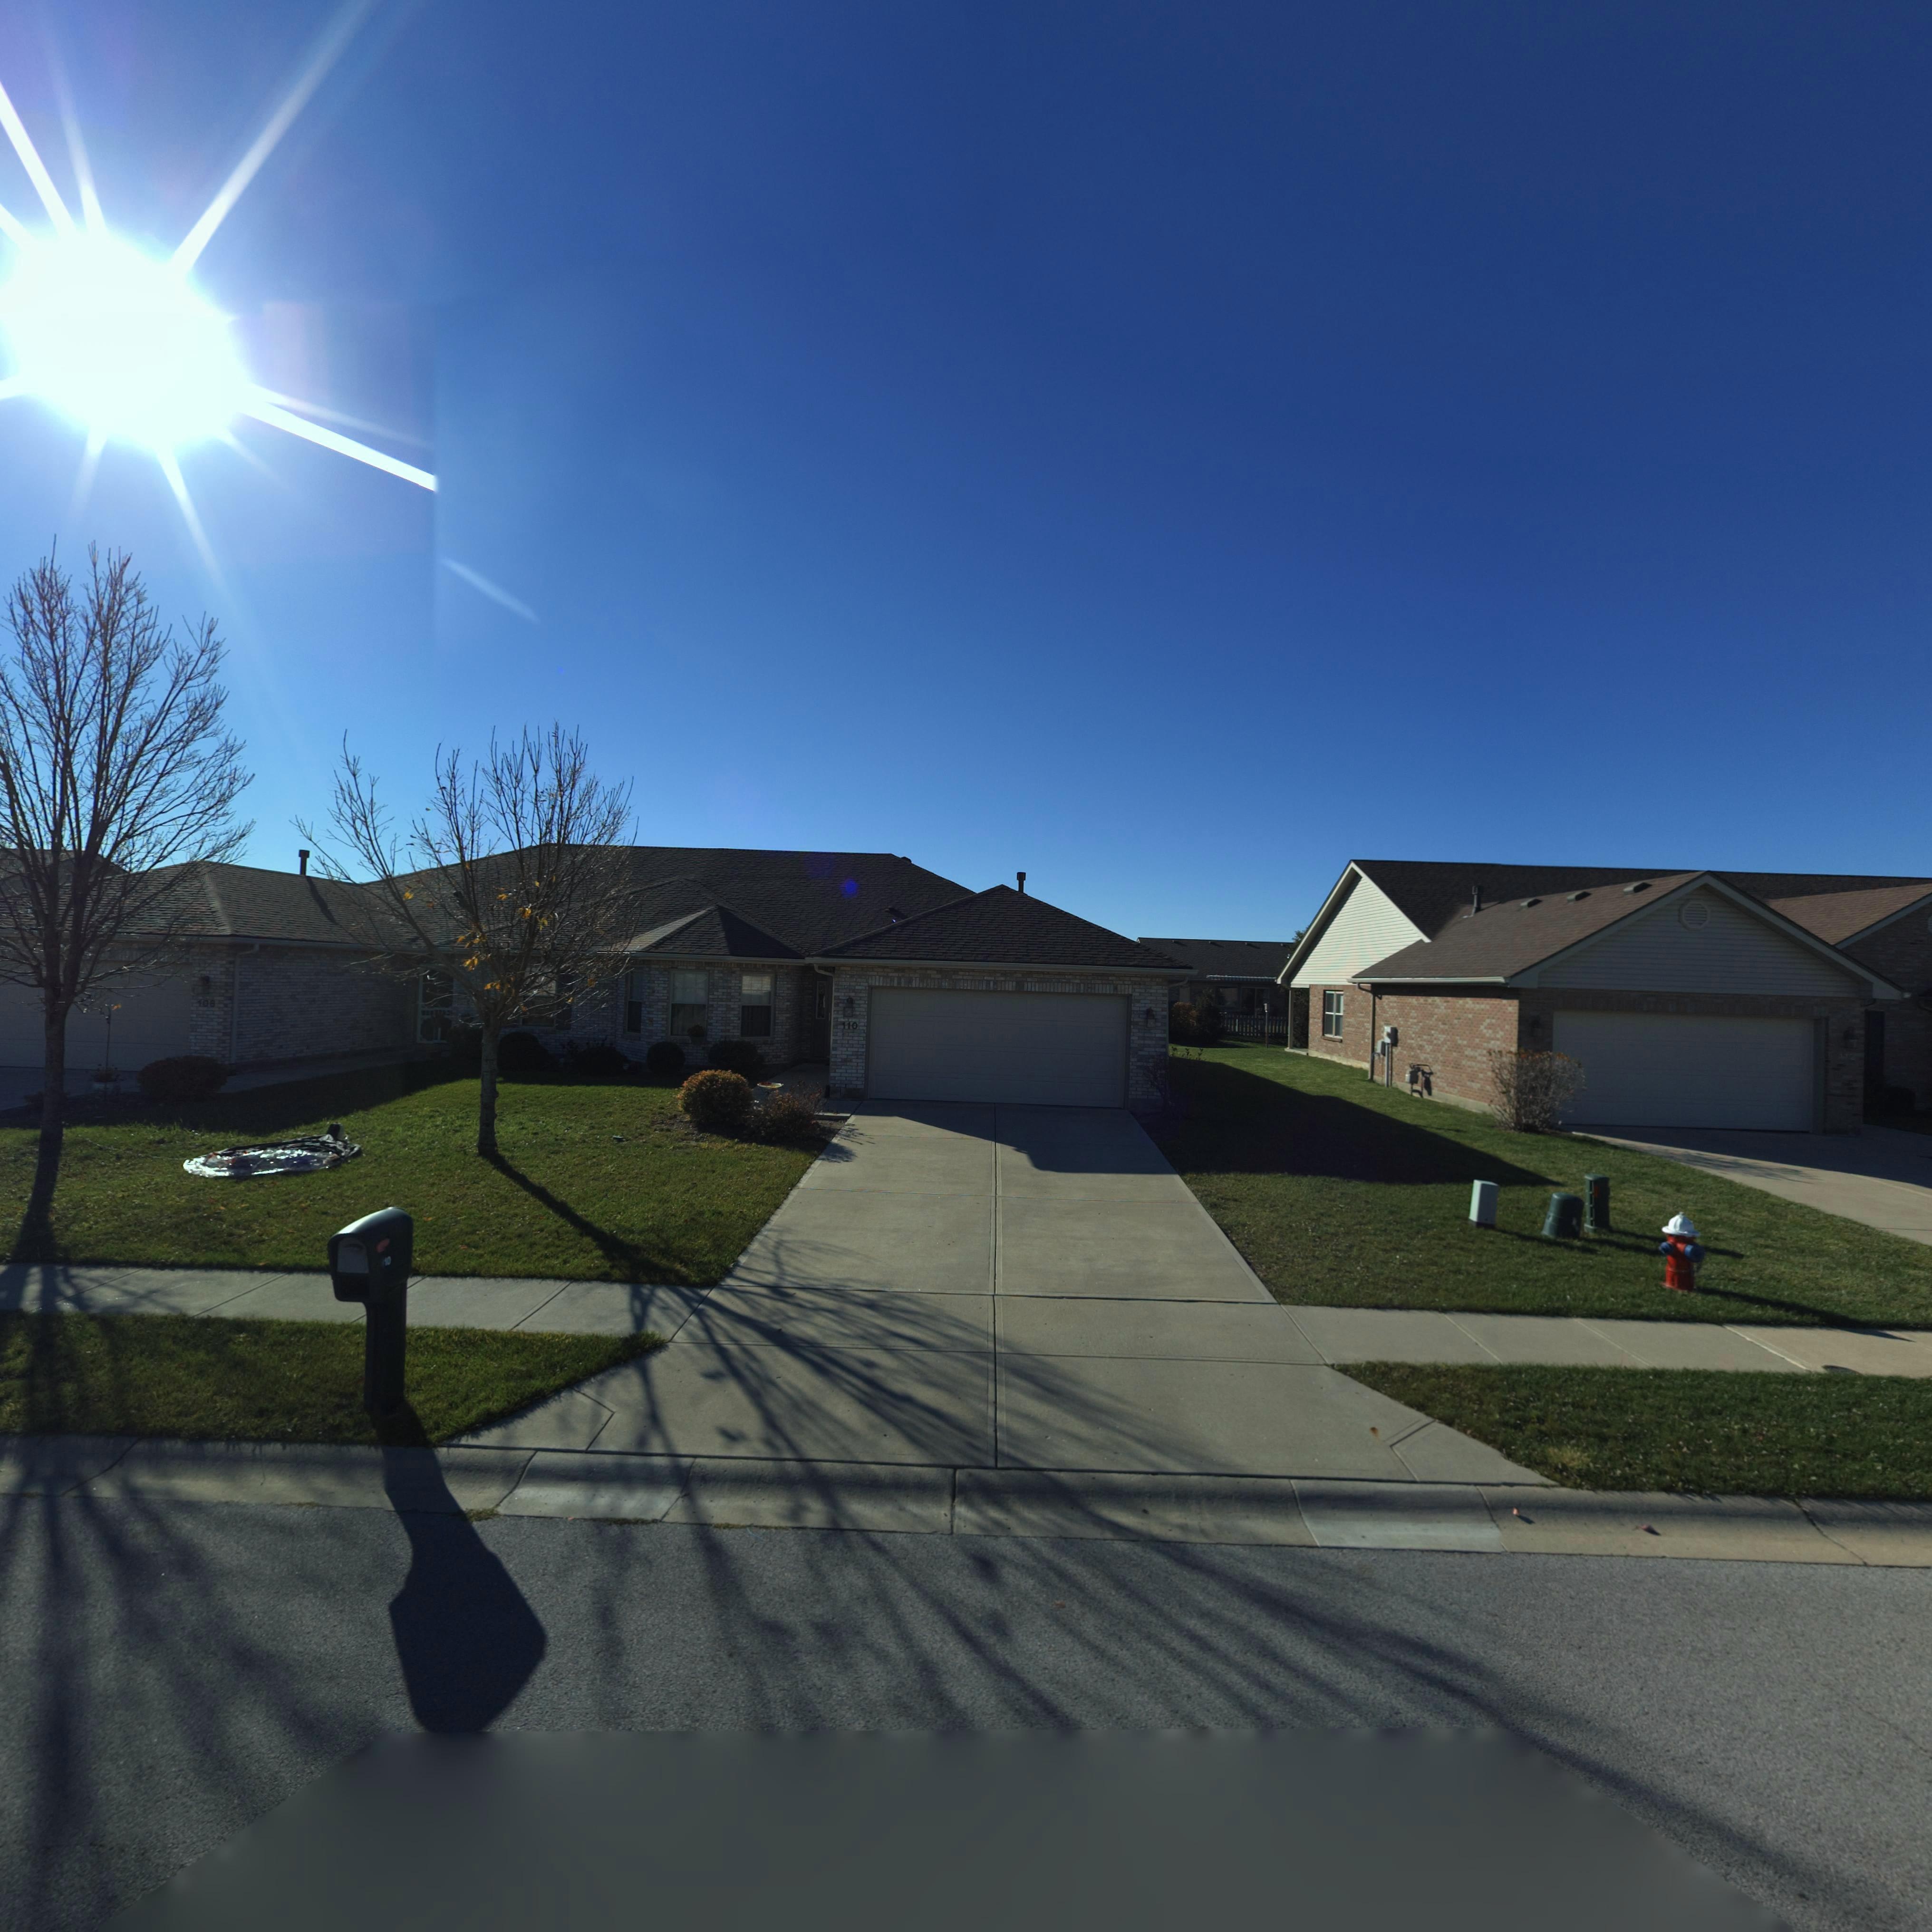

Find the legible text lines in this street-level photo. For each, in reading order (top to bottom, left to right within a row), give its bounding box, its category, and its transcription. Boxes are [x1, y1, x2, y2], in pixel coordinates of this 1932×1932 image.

[841, 1020, 859, 1031] StreetNumber: 110\